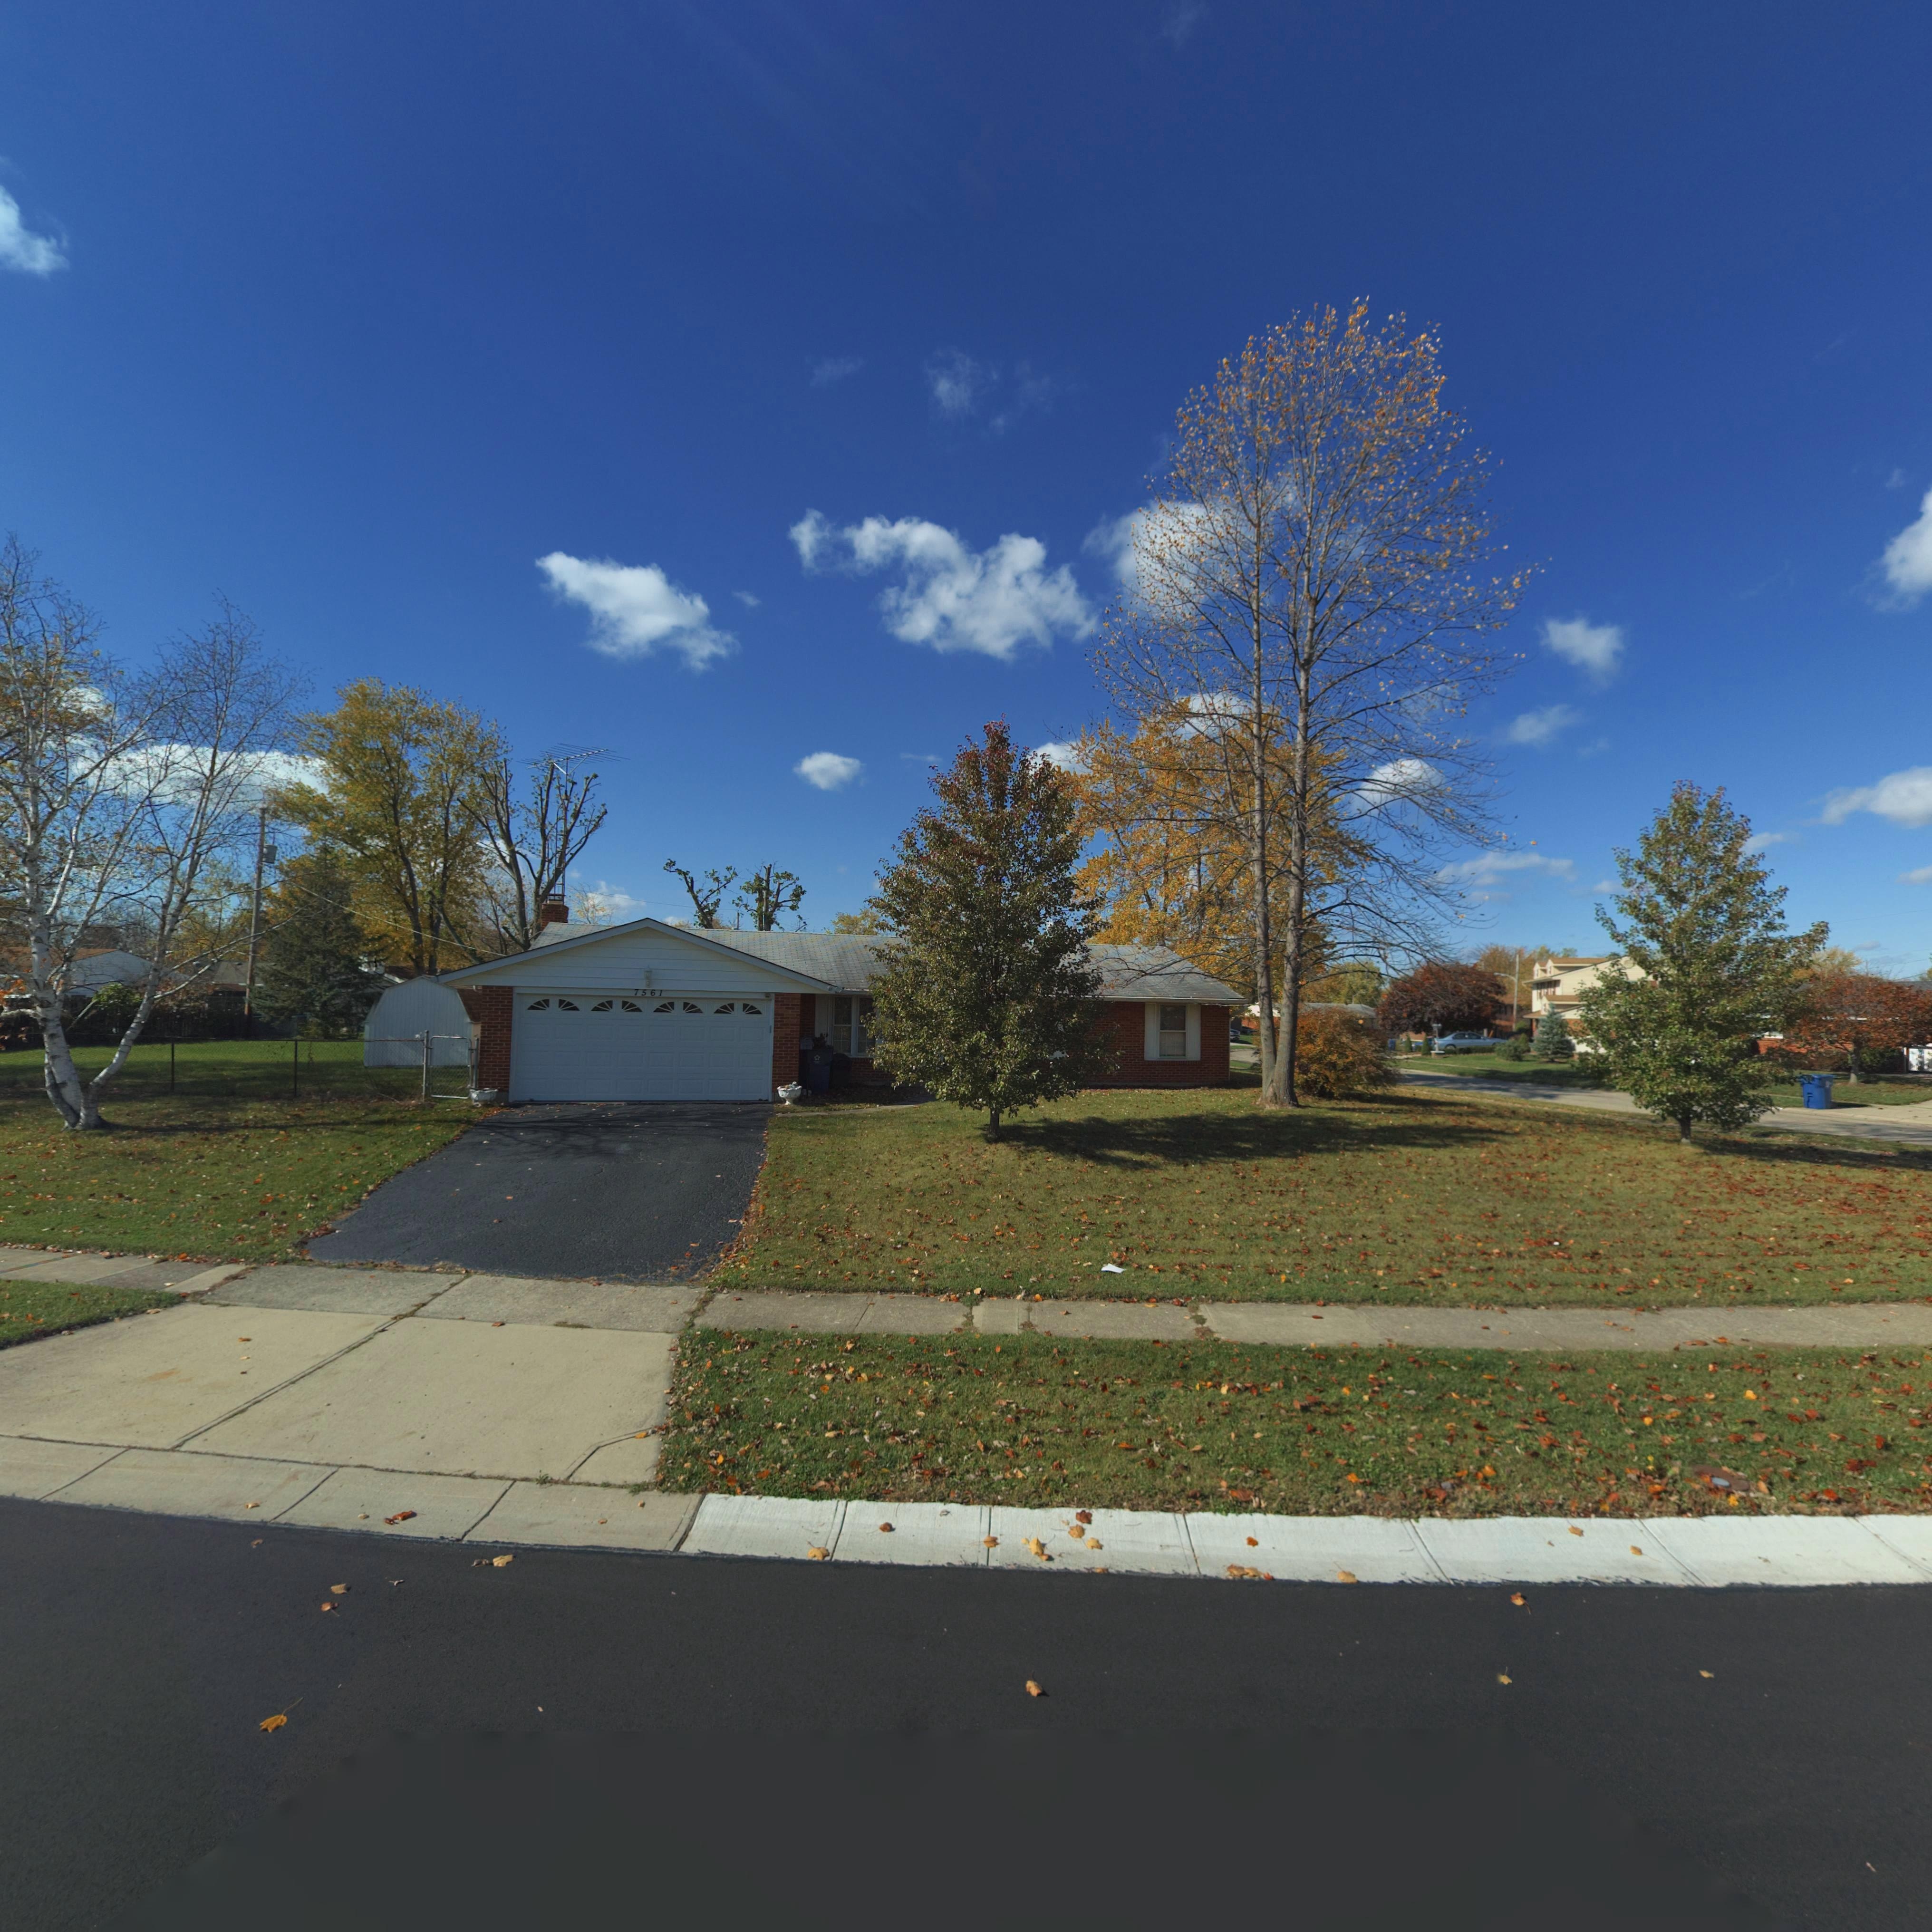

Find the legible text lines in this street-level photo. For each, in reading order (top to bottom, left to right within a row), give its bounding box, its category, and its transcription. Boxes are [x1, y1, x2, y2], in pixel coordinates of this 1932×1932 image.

[634, 988, 664, 997] StreetNumber: 7561